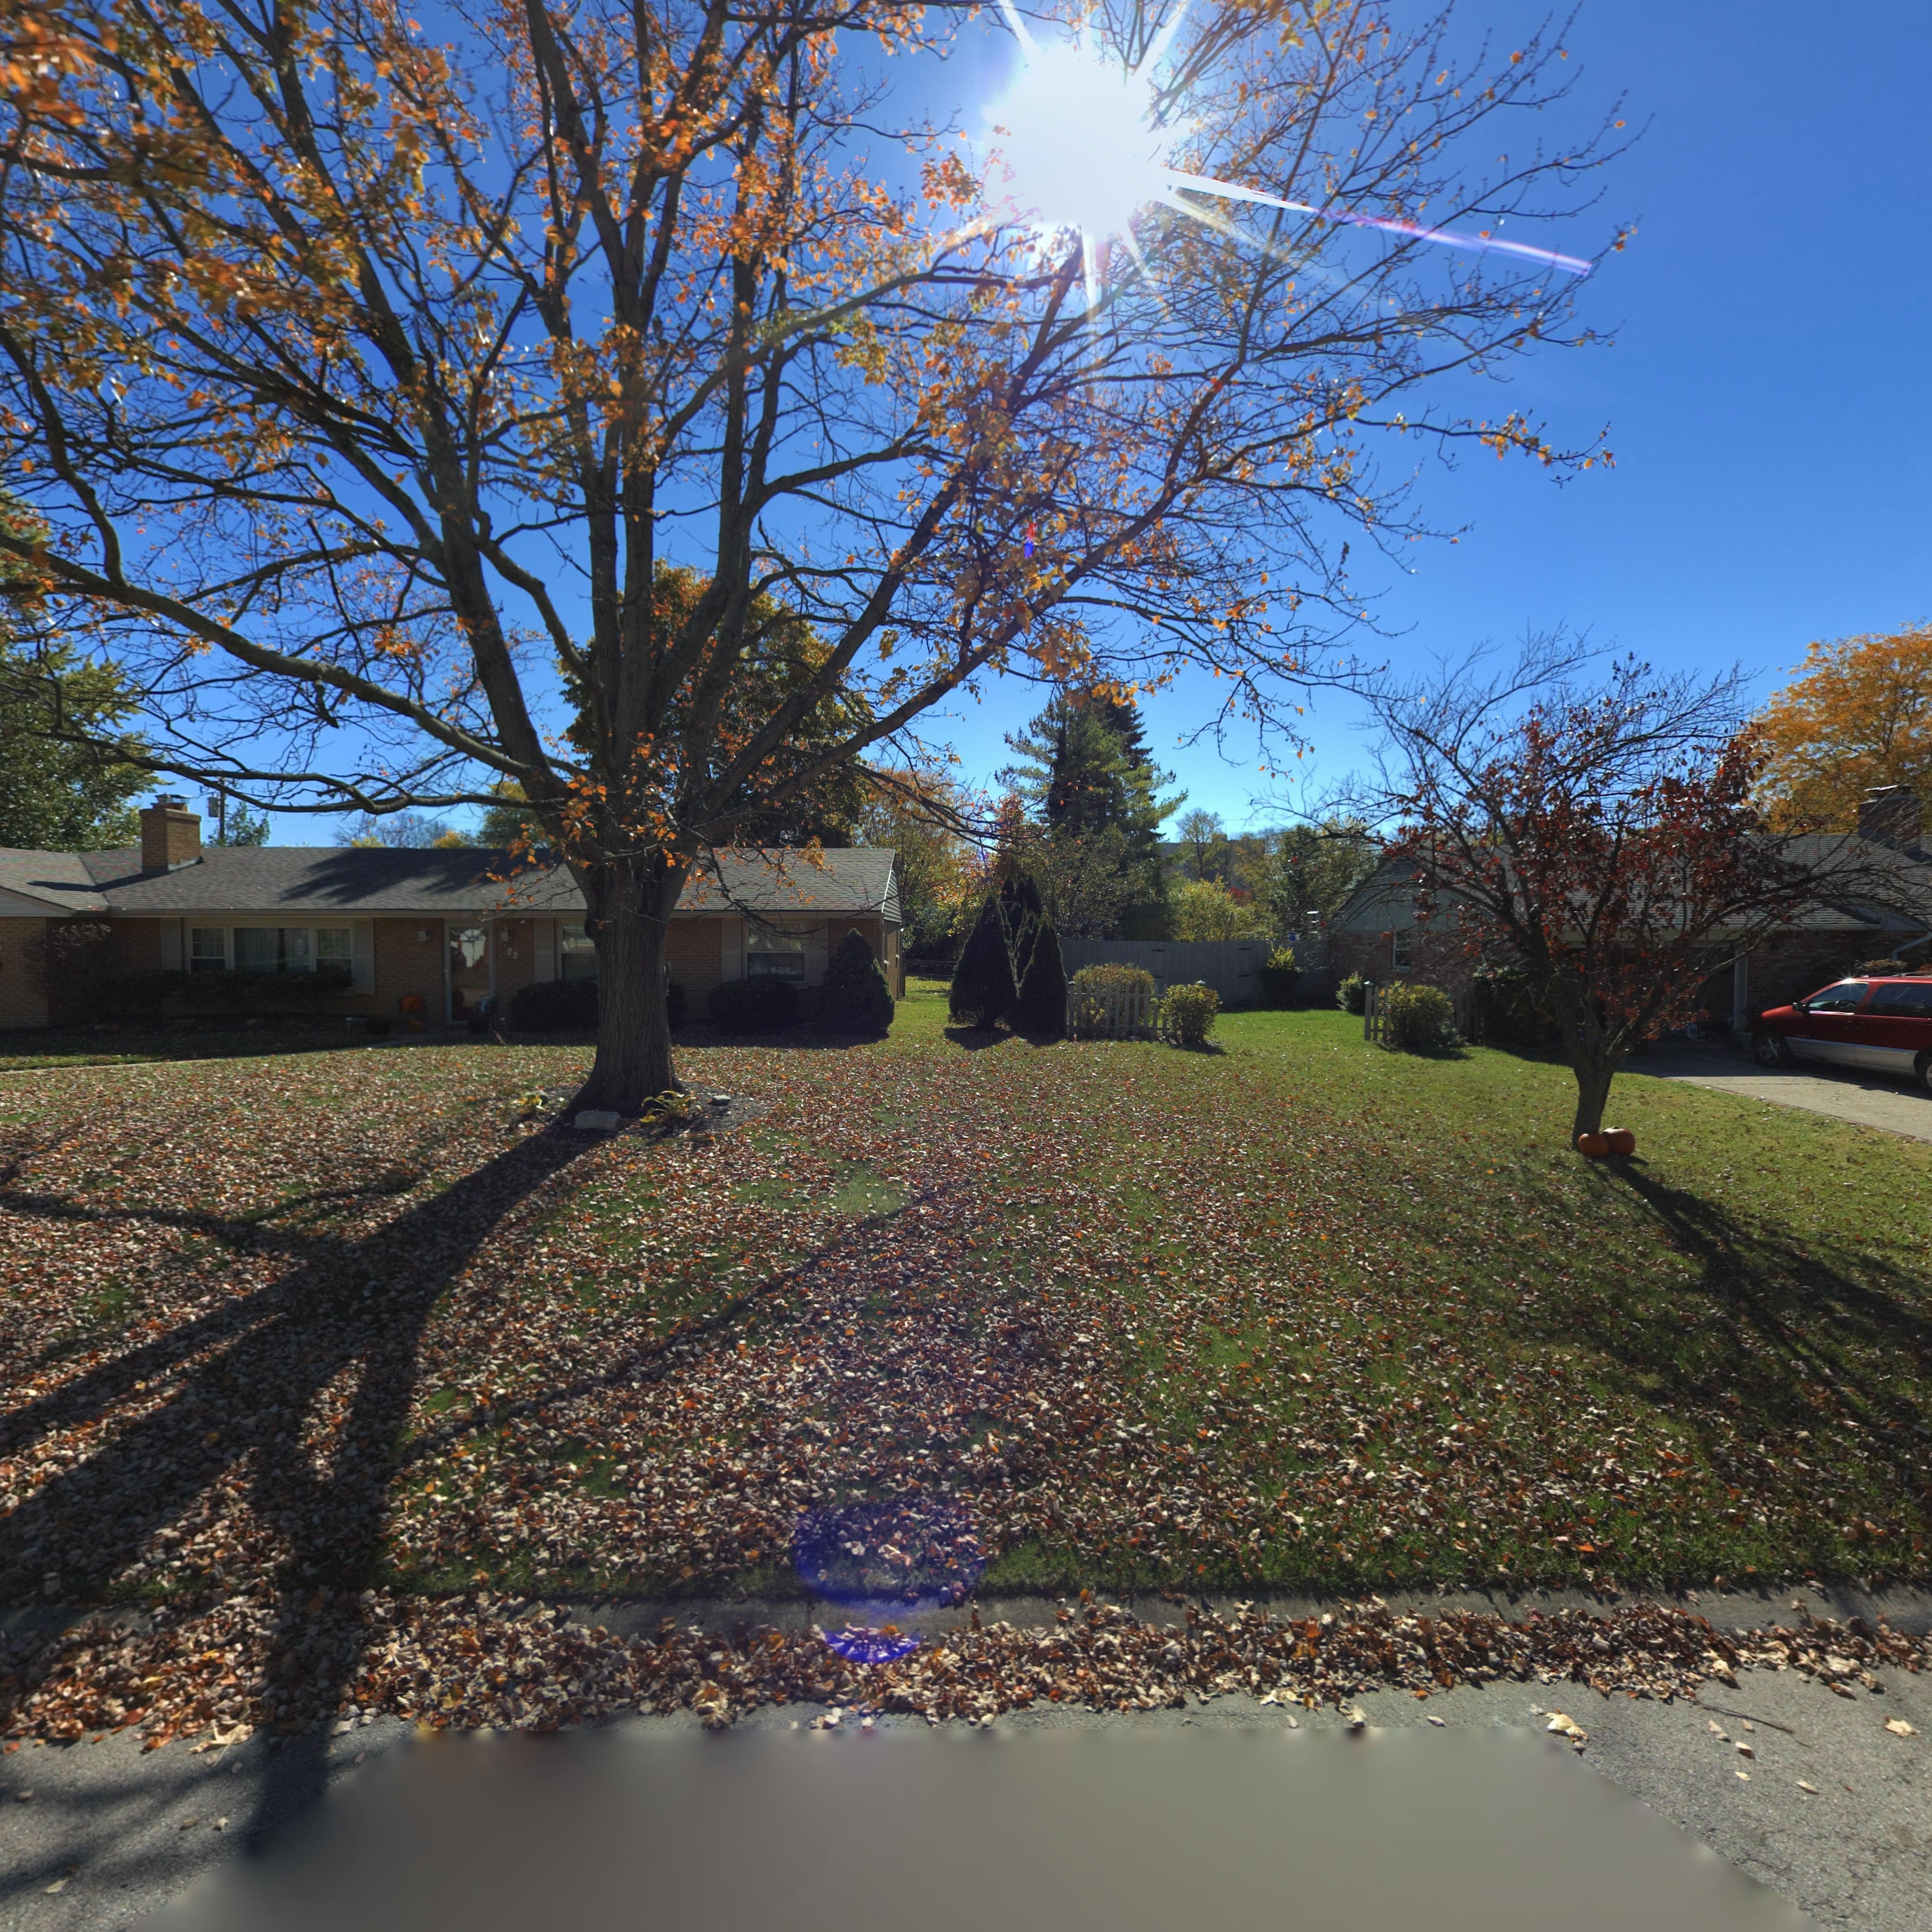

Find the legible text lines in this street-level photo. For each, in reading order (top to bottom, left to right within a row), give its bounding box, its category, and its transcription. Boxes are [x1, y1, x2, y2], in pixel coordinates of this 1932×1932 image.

[506, 947, 519, 960] StreetNumber: 22